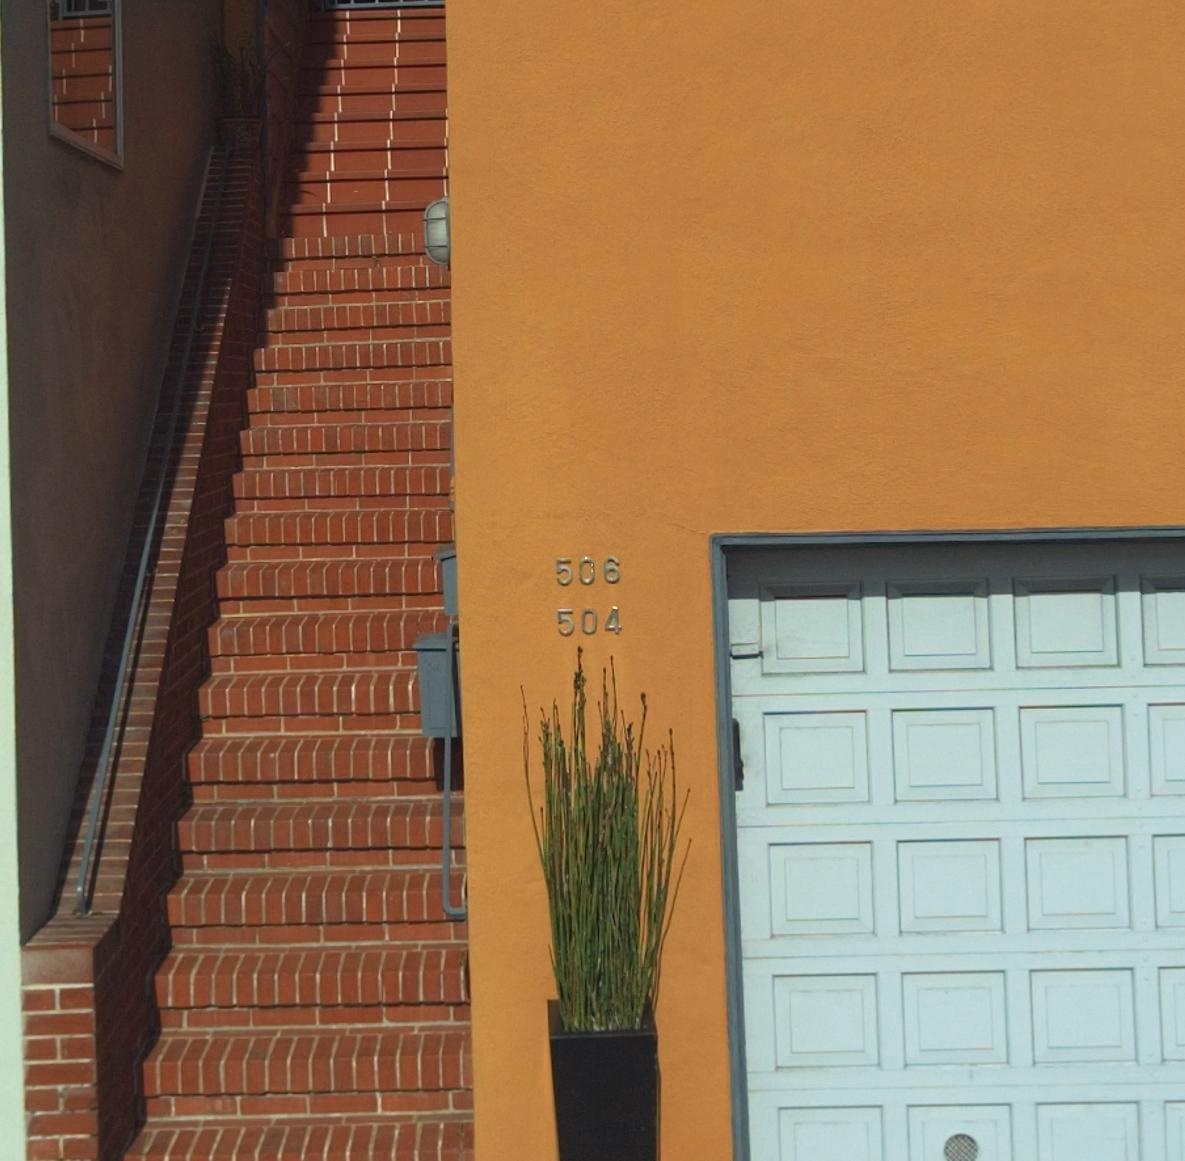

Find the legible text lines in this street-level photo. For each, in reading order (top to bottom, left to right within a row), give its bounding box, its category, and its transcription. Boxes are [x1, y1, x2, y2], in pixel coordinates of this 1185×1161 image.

[554, 554, 623, 588] StreetNumber: 506
[556, 604, 623, 638] StreetNumber: 504